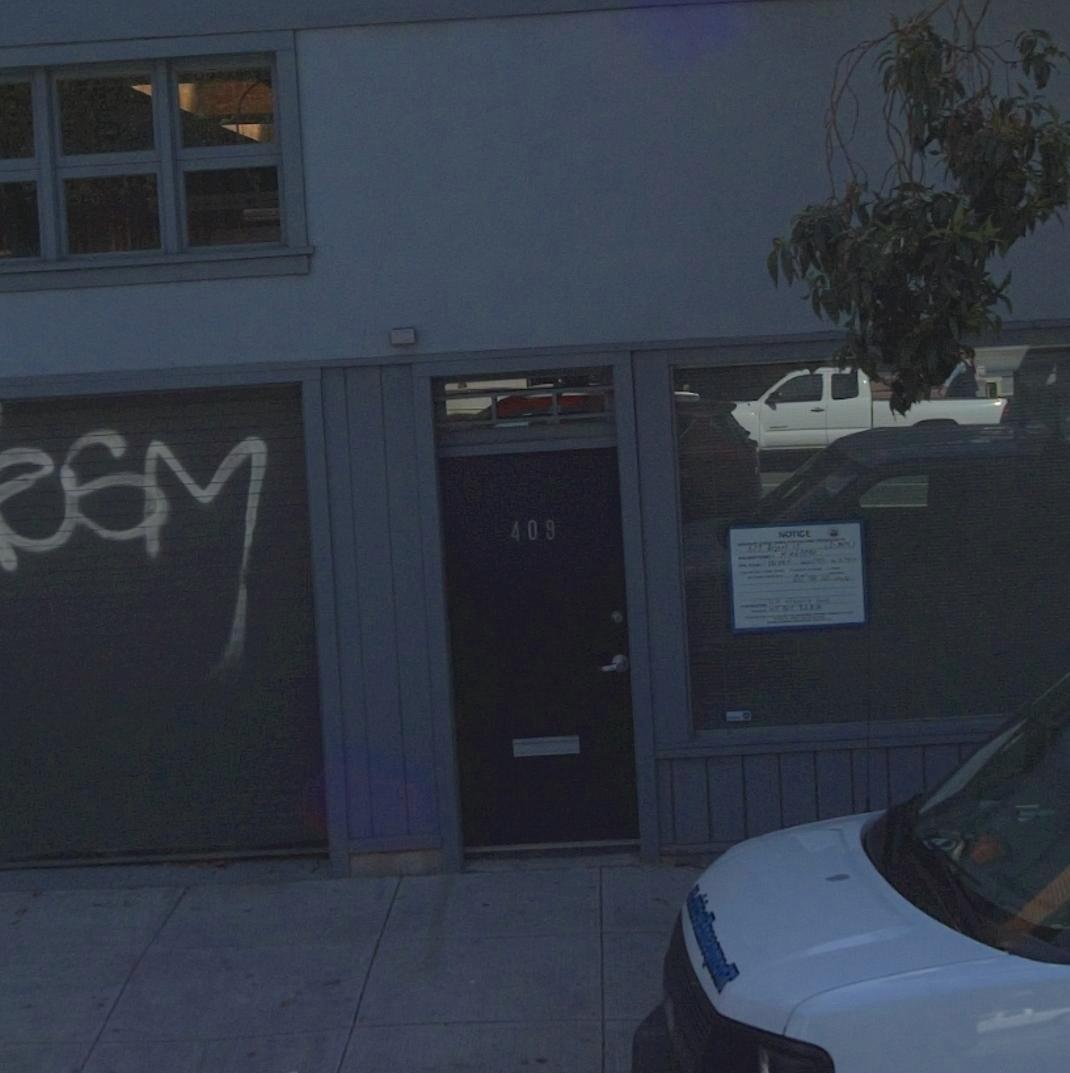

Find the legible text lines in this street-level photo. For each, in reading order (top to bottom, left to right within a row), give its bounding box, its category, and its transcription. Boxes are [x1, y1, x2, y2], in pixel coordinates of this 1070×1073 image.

[59, 422, 273, 565] None: SM
[502, 515, 559, 548] StreetNumber: 409
[776, 527, 814, 541] None: NOTICE